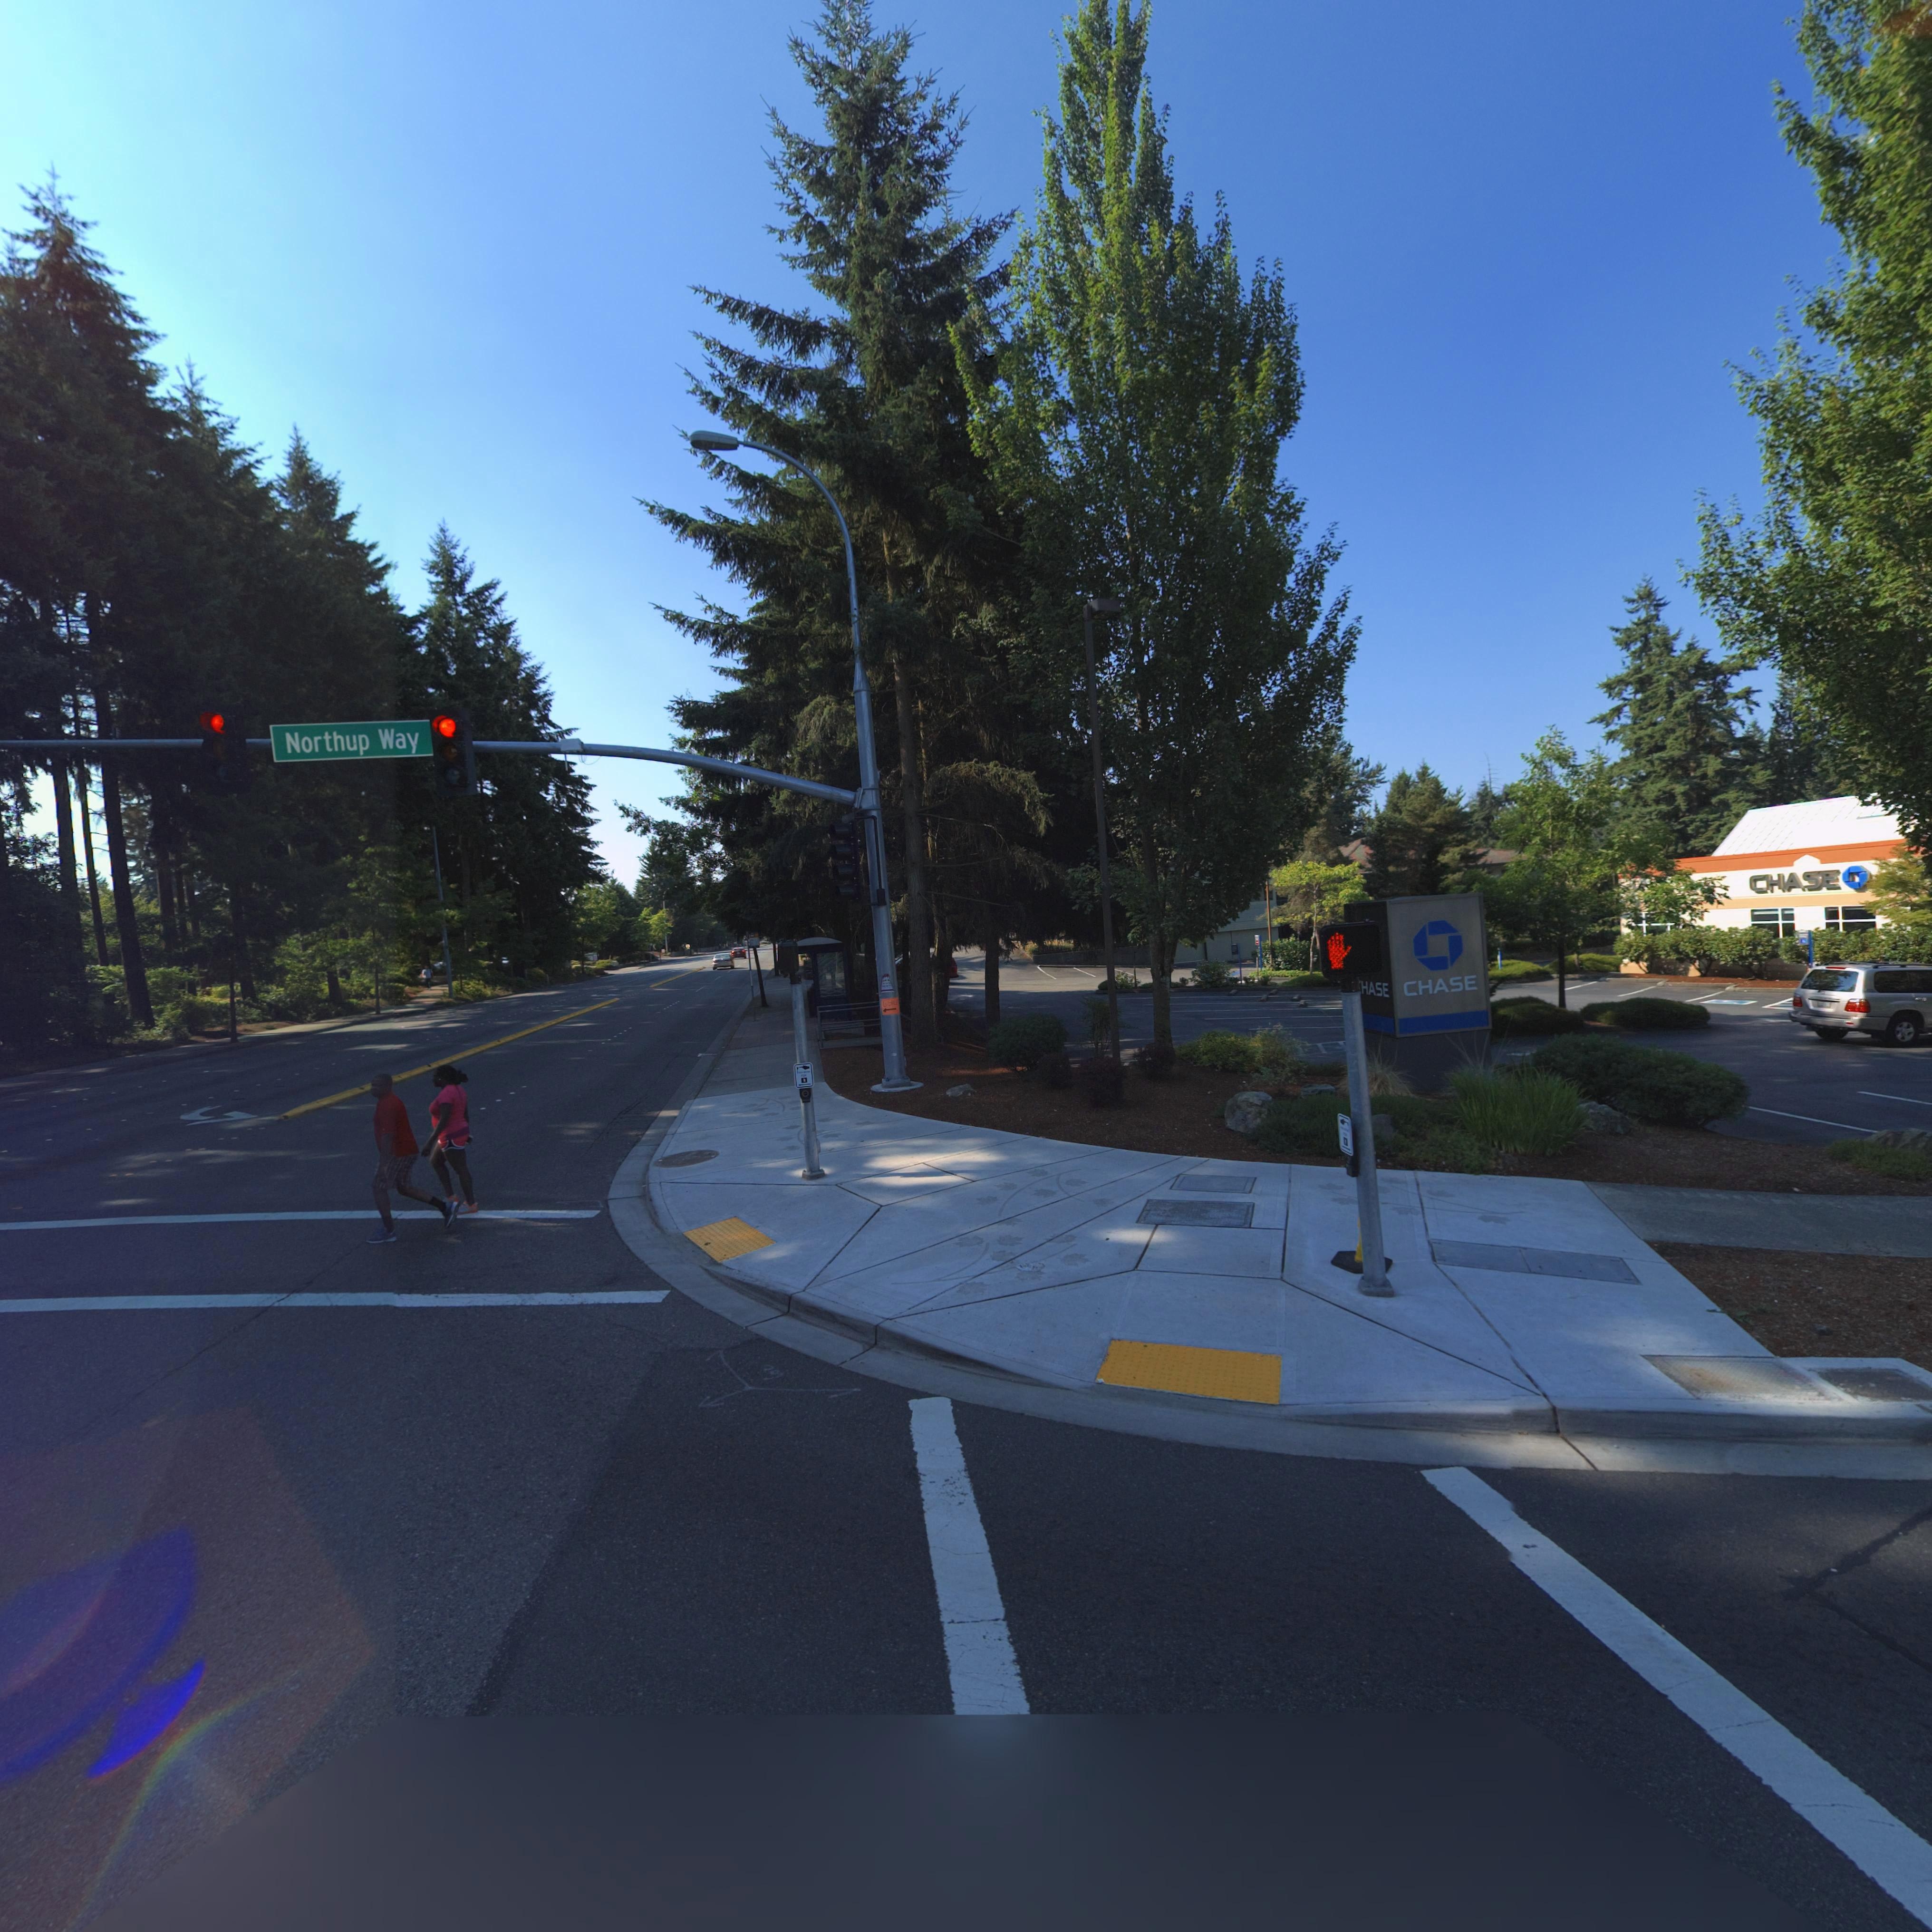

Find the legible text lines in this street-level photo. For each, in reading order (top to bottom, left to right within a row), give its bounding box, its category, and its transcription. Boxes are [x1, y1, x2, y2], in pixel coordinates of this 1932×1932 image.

[284, 726, 420, 757] StreetName: Northup Way
[1749, 869, 1840, 893] BusinessName: CHASE 
[1362, 981, 1389, 997] BusinessName: HASE
[1403, 975, 1477, 996] BusinessName: CHASE